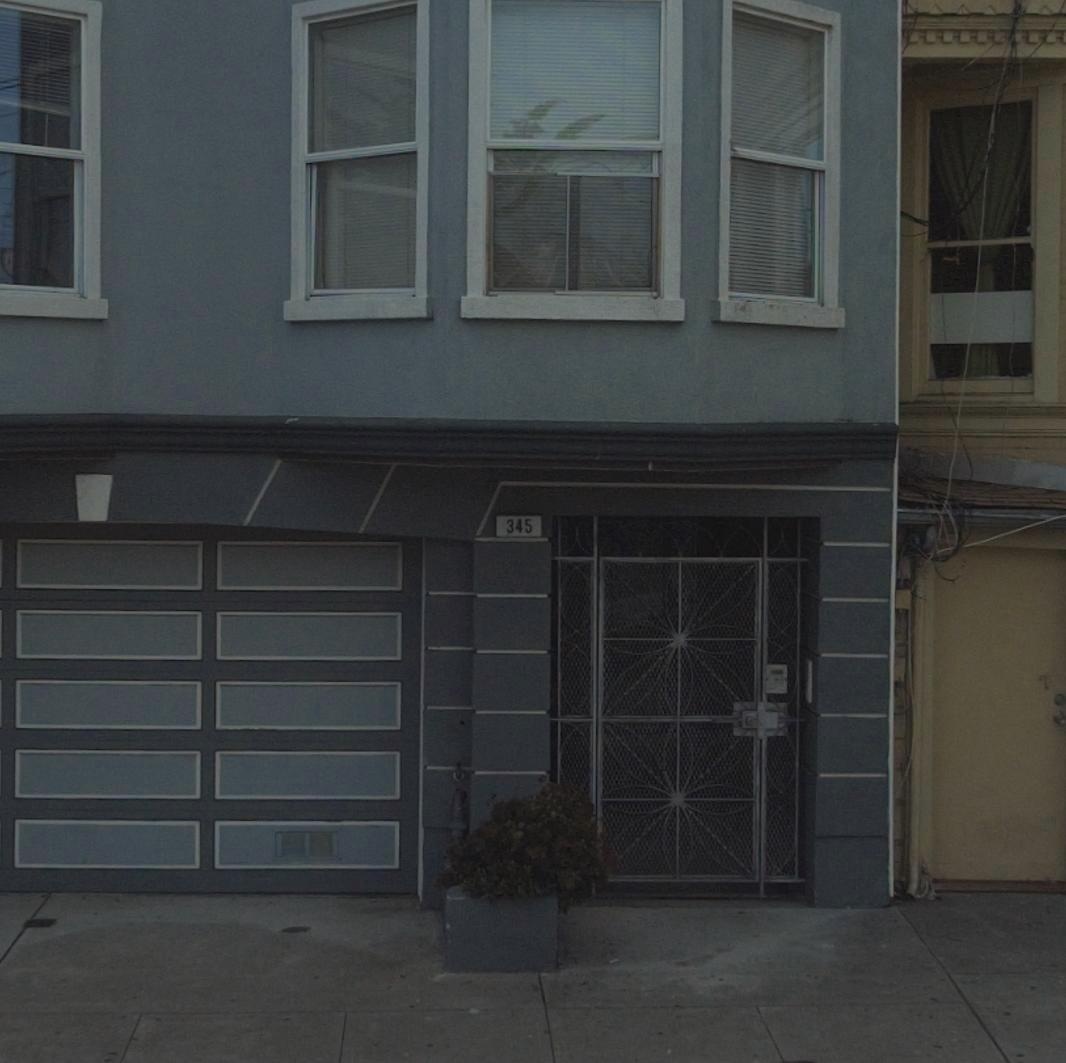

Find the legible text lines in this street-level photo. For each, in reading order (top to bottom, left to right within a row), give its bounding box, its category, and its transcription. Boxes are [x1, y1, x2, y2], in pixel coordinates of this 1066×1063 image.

[505, 517, 533, 534] StreetNumber: 345